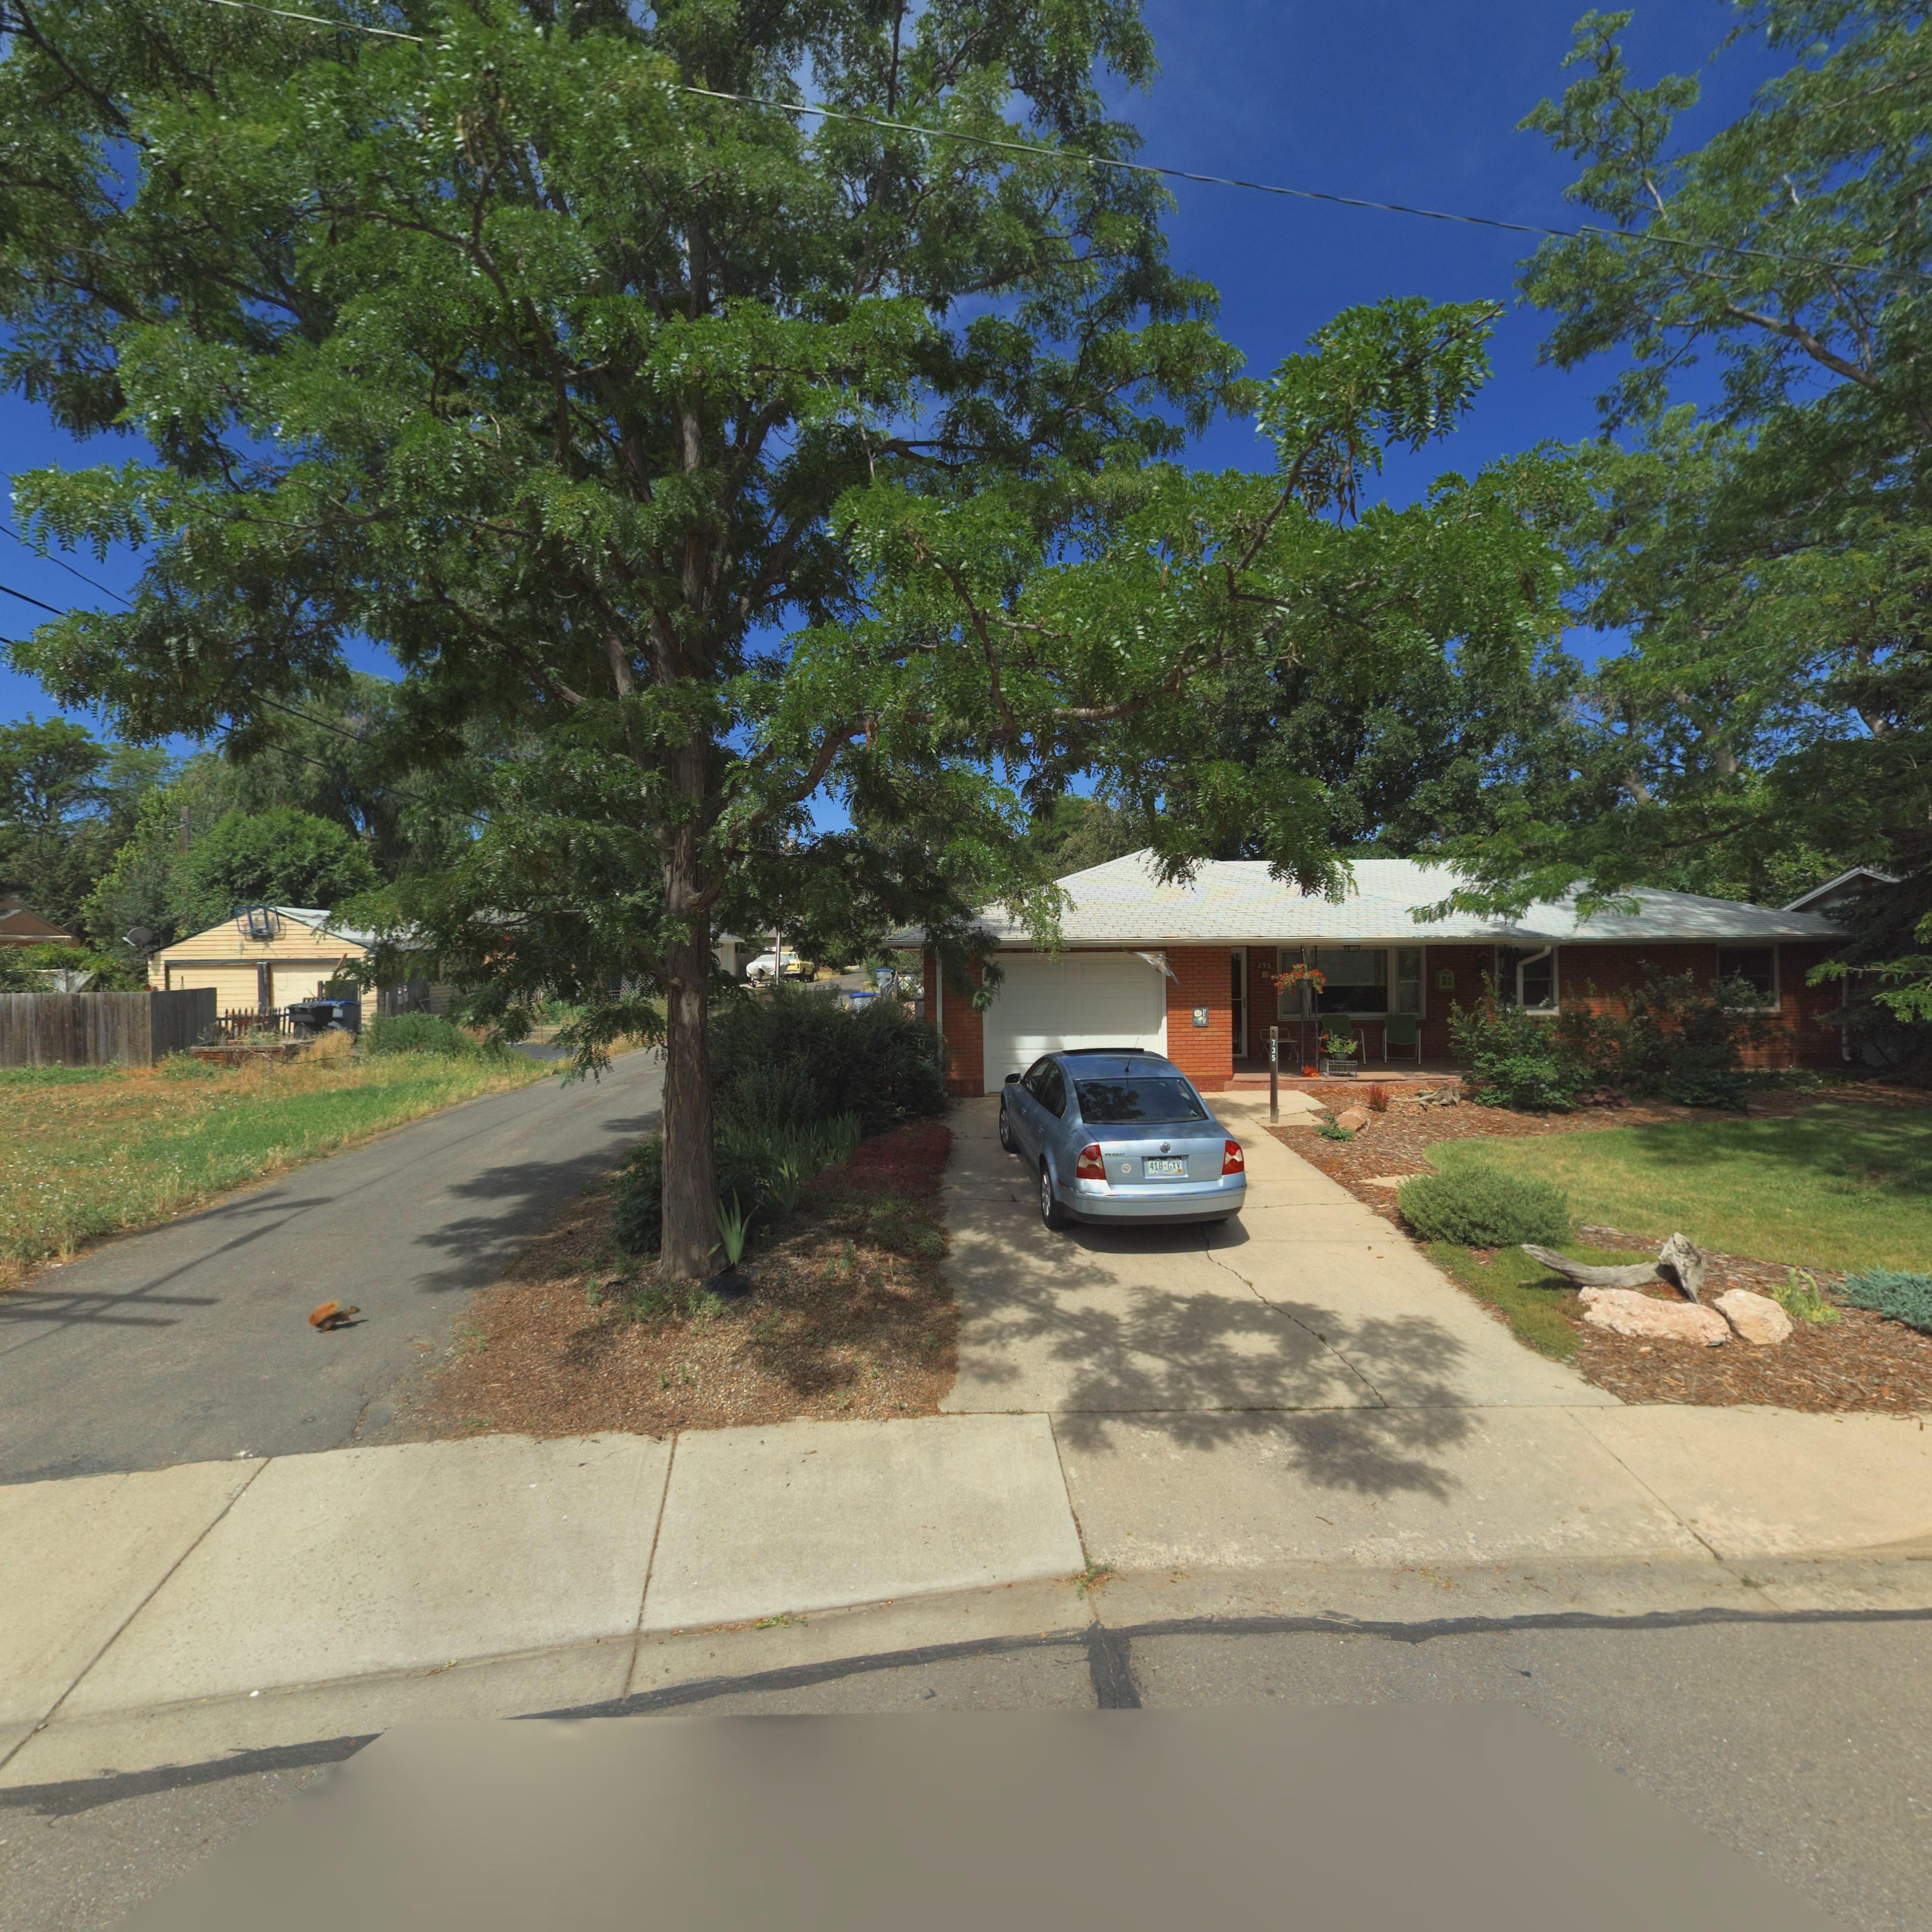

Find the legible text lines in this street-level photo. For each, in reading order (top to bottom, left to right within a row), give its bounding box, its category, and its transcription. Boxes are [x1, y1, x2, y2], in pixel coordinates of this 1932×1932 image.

[1257, 962, 1271, 968] StreetNumber: 735
[1271, 1039, 1276, 1063] StreetNumber: 735